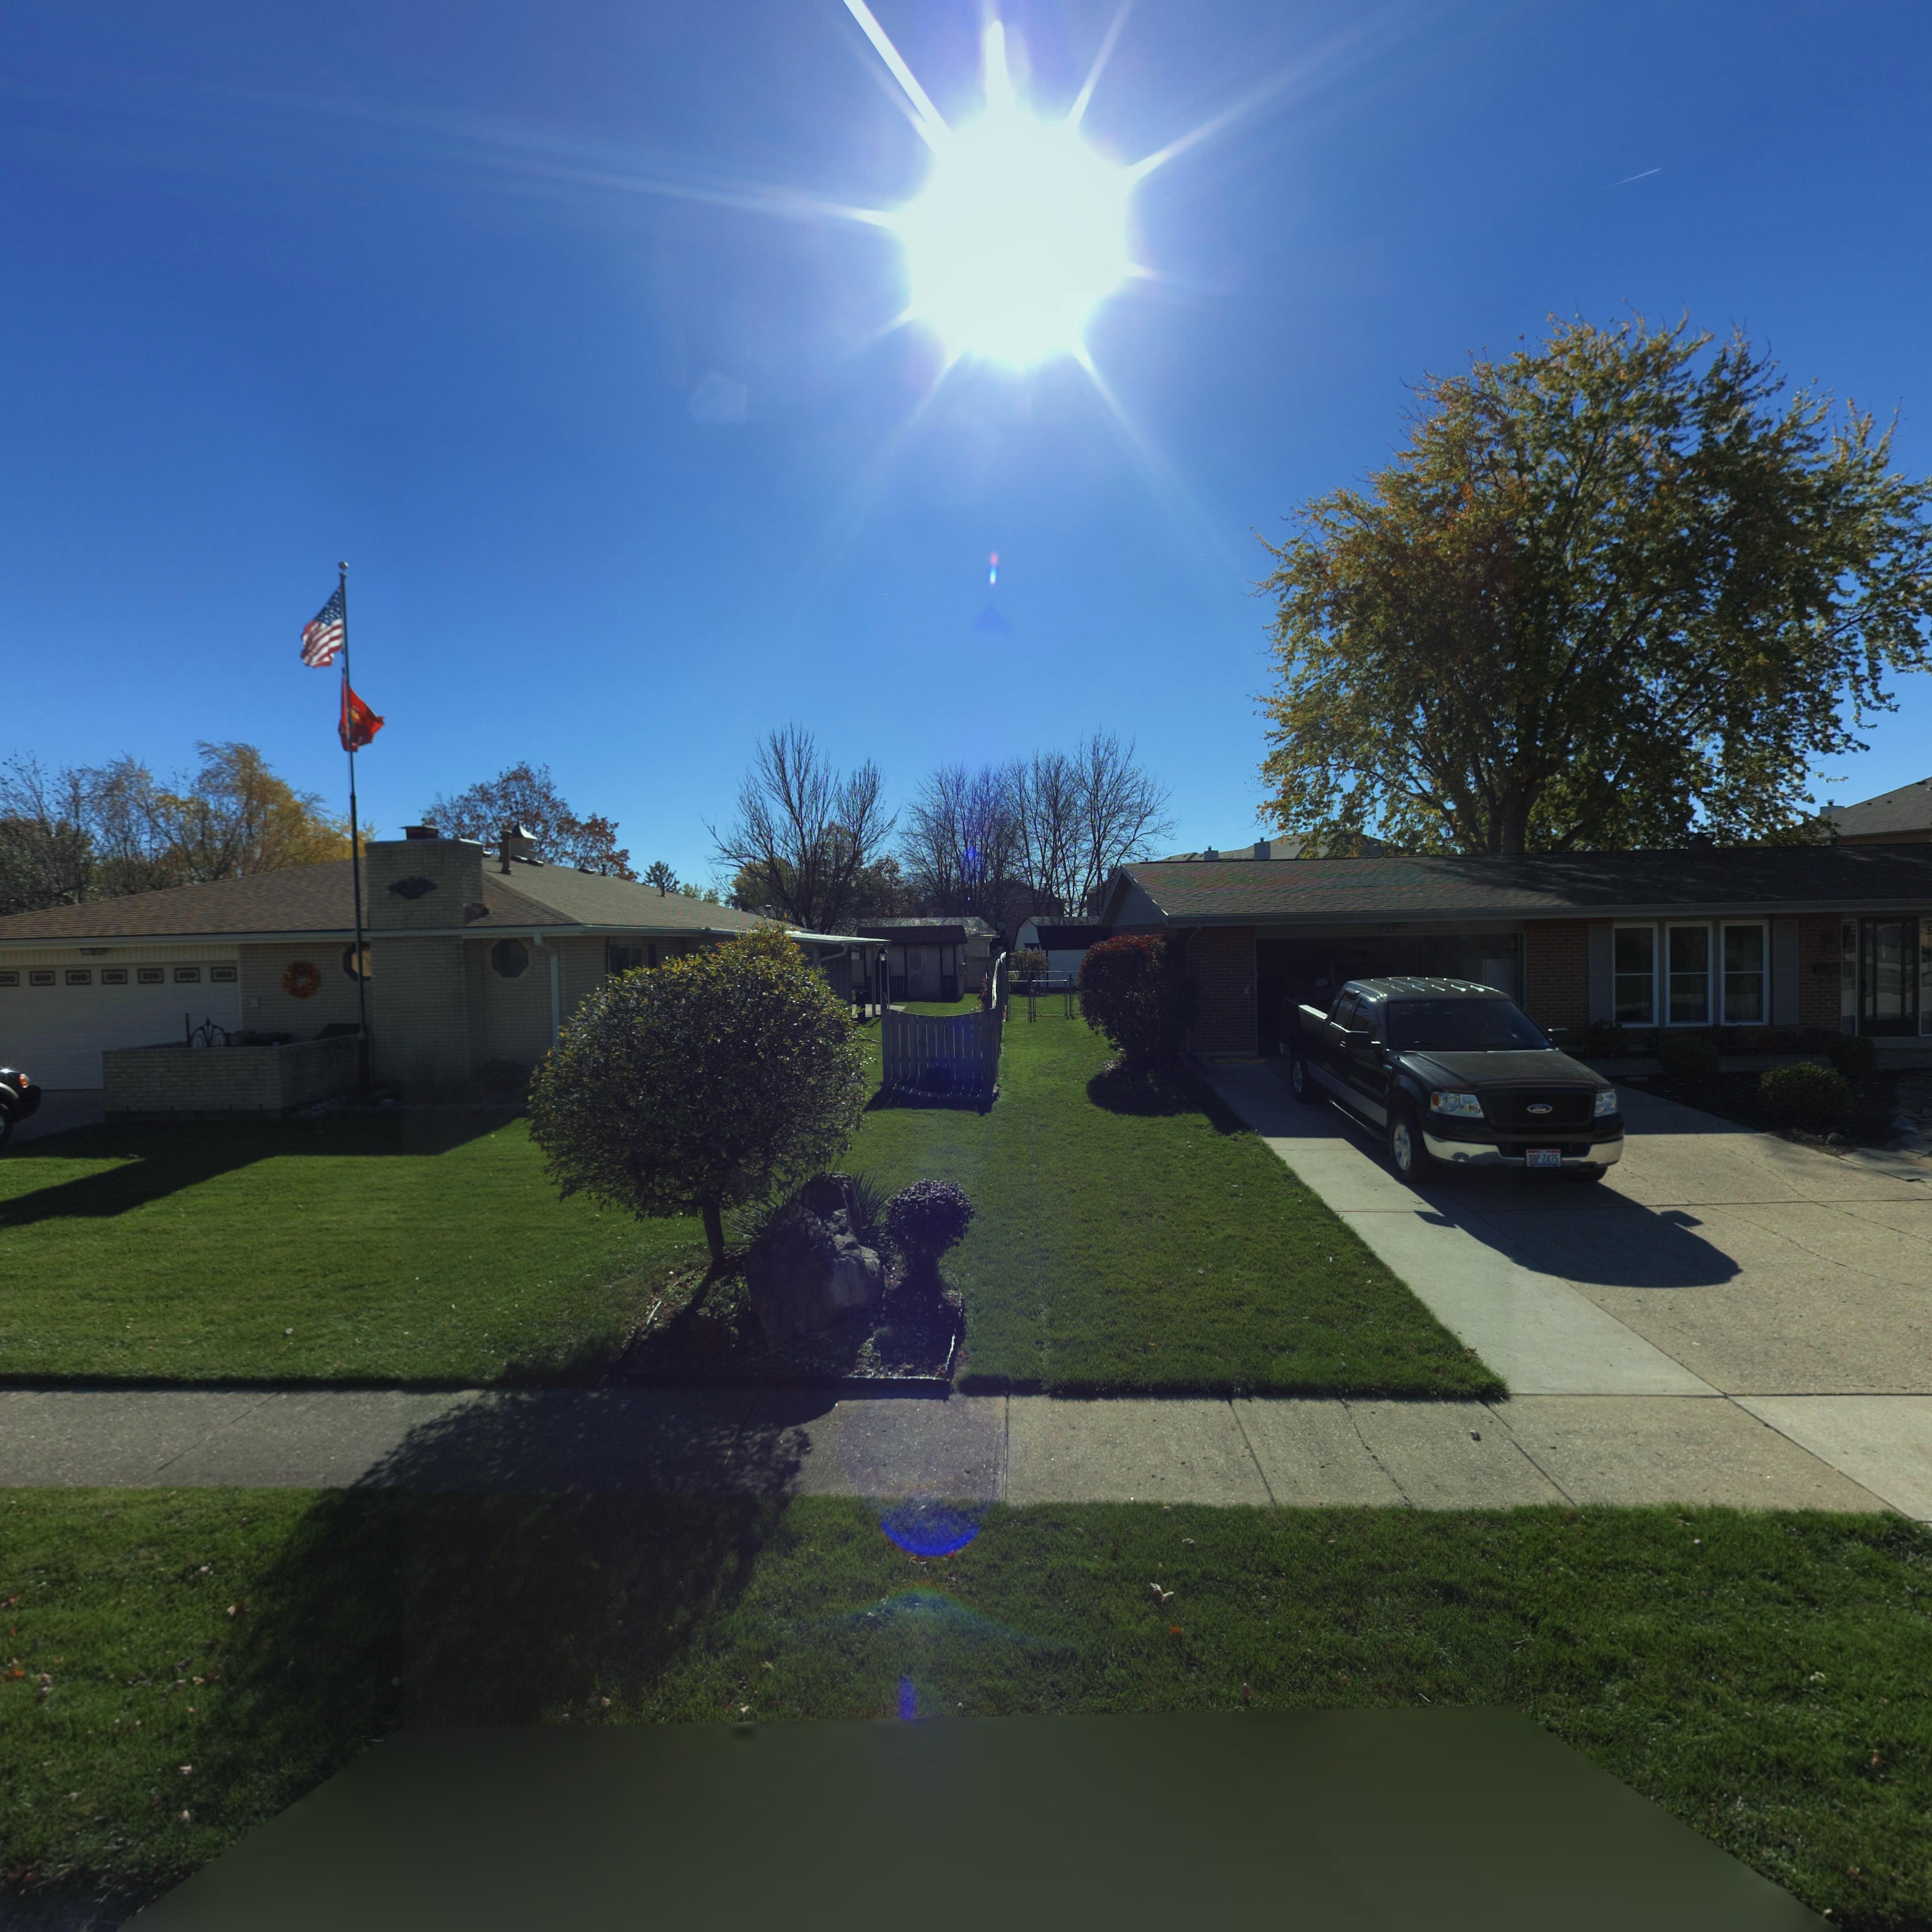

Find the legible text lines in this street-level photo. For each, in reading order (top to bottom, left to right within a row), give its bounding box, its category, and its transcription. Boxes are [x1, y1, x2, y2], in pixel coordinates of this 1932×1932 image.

[1378, 923, 1397, 933] StreetNumber: 779